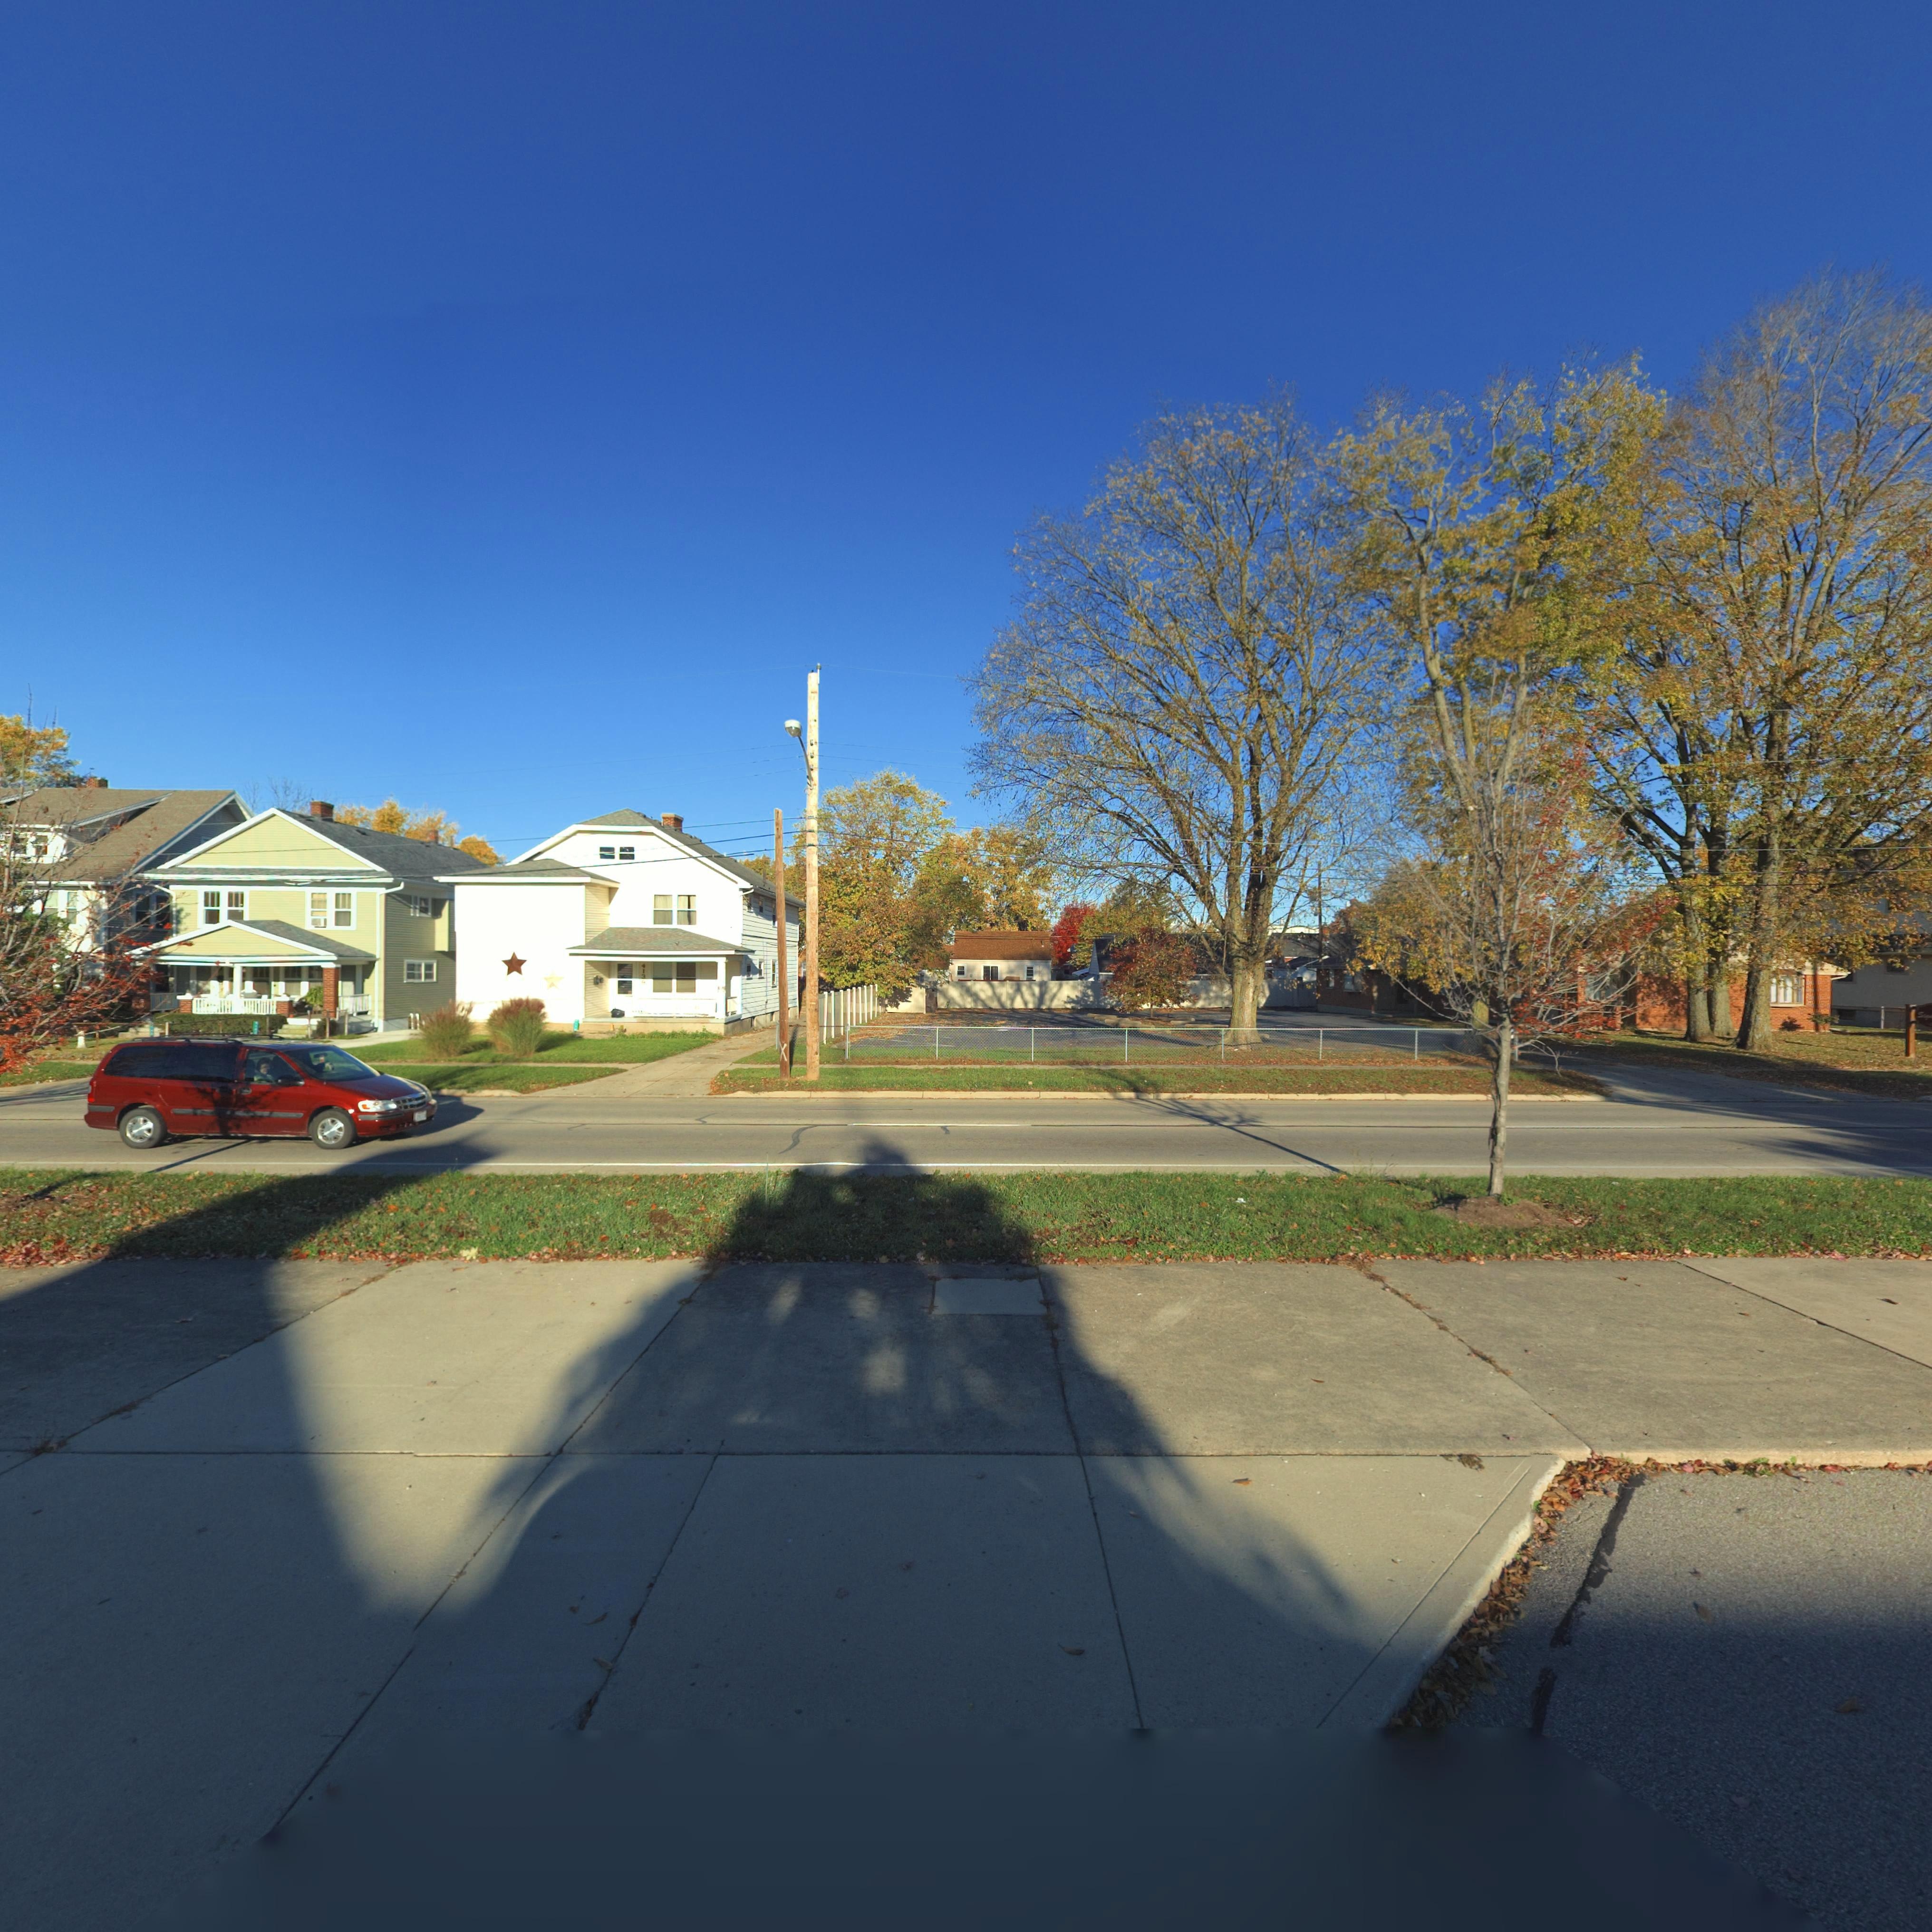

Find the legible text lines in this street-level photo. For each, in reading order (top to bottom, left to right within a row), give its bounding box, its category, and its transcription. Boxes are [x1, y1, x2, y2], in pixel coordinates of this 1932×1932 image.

[641, 963, 646, 985] StreetNumber: 413*